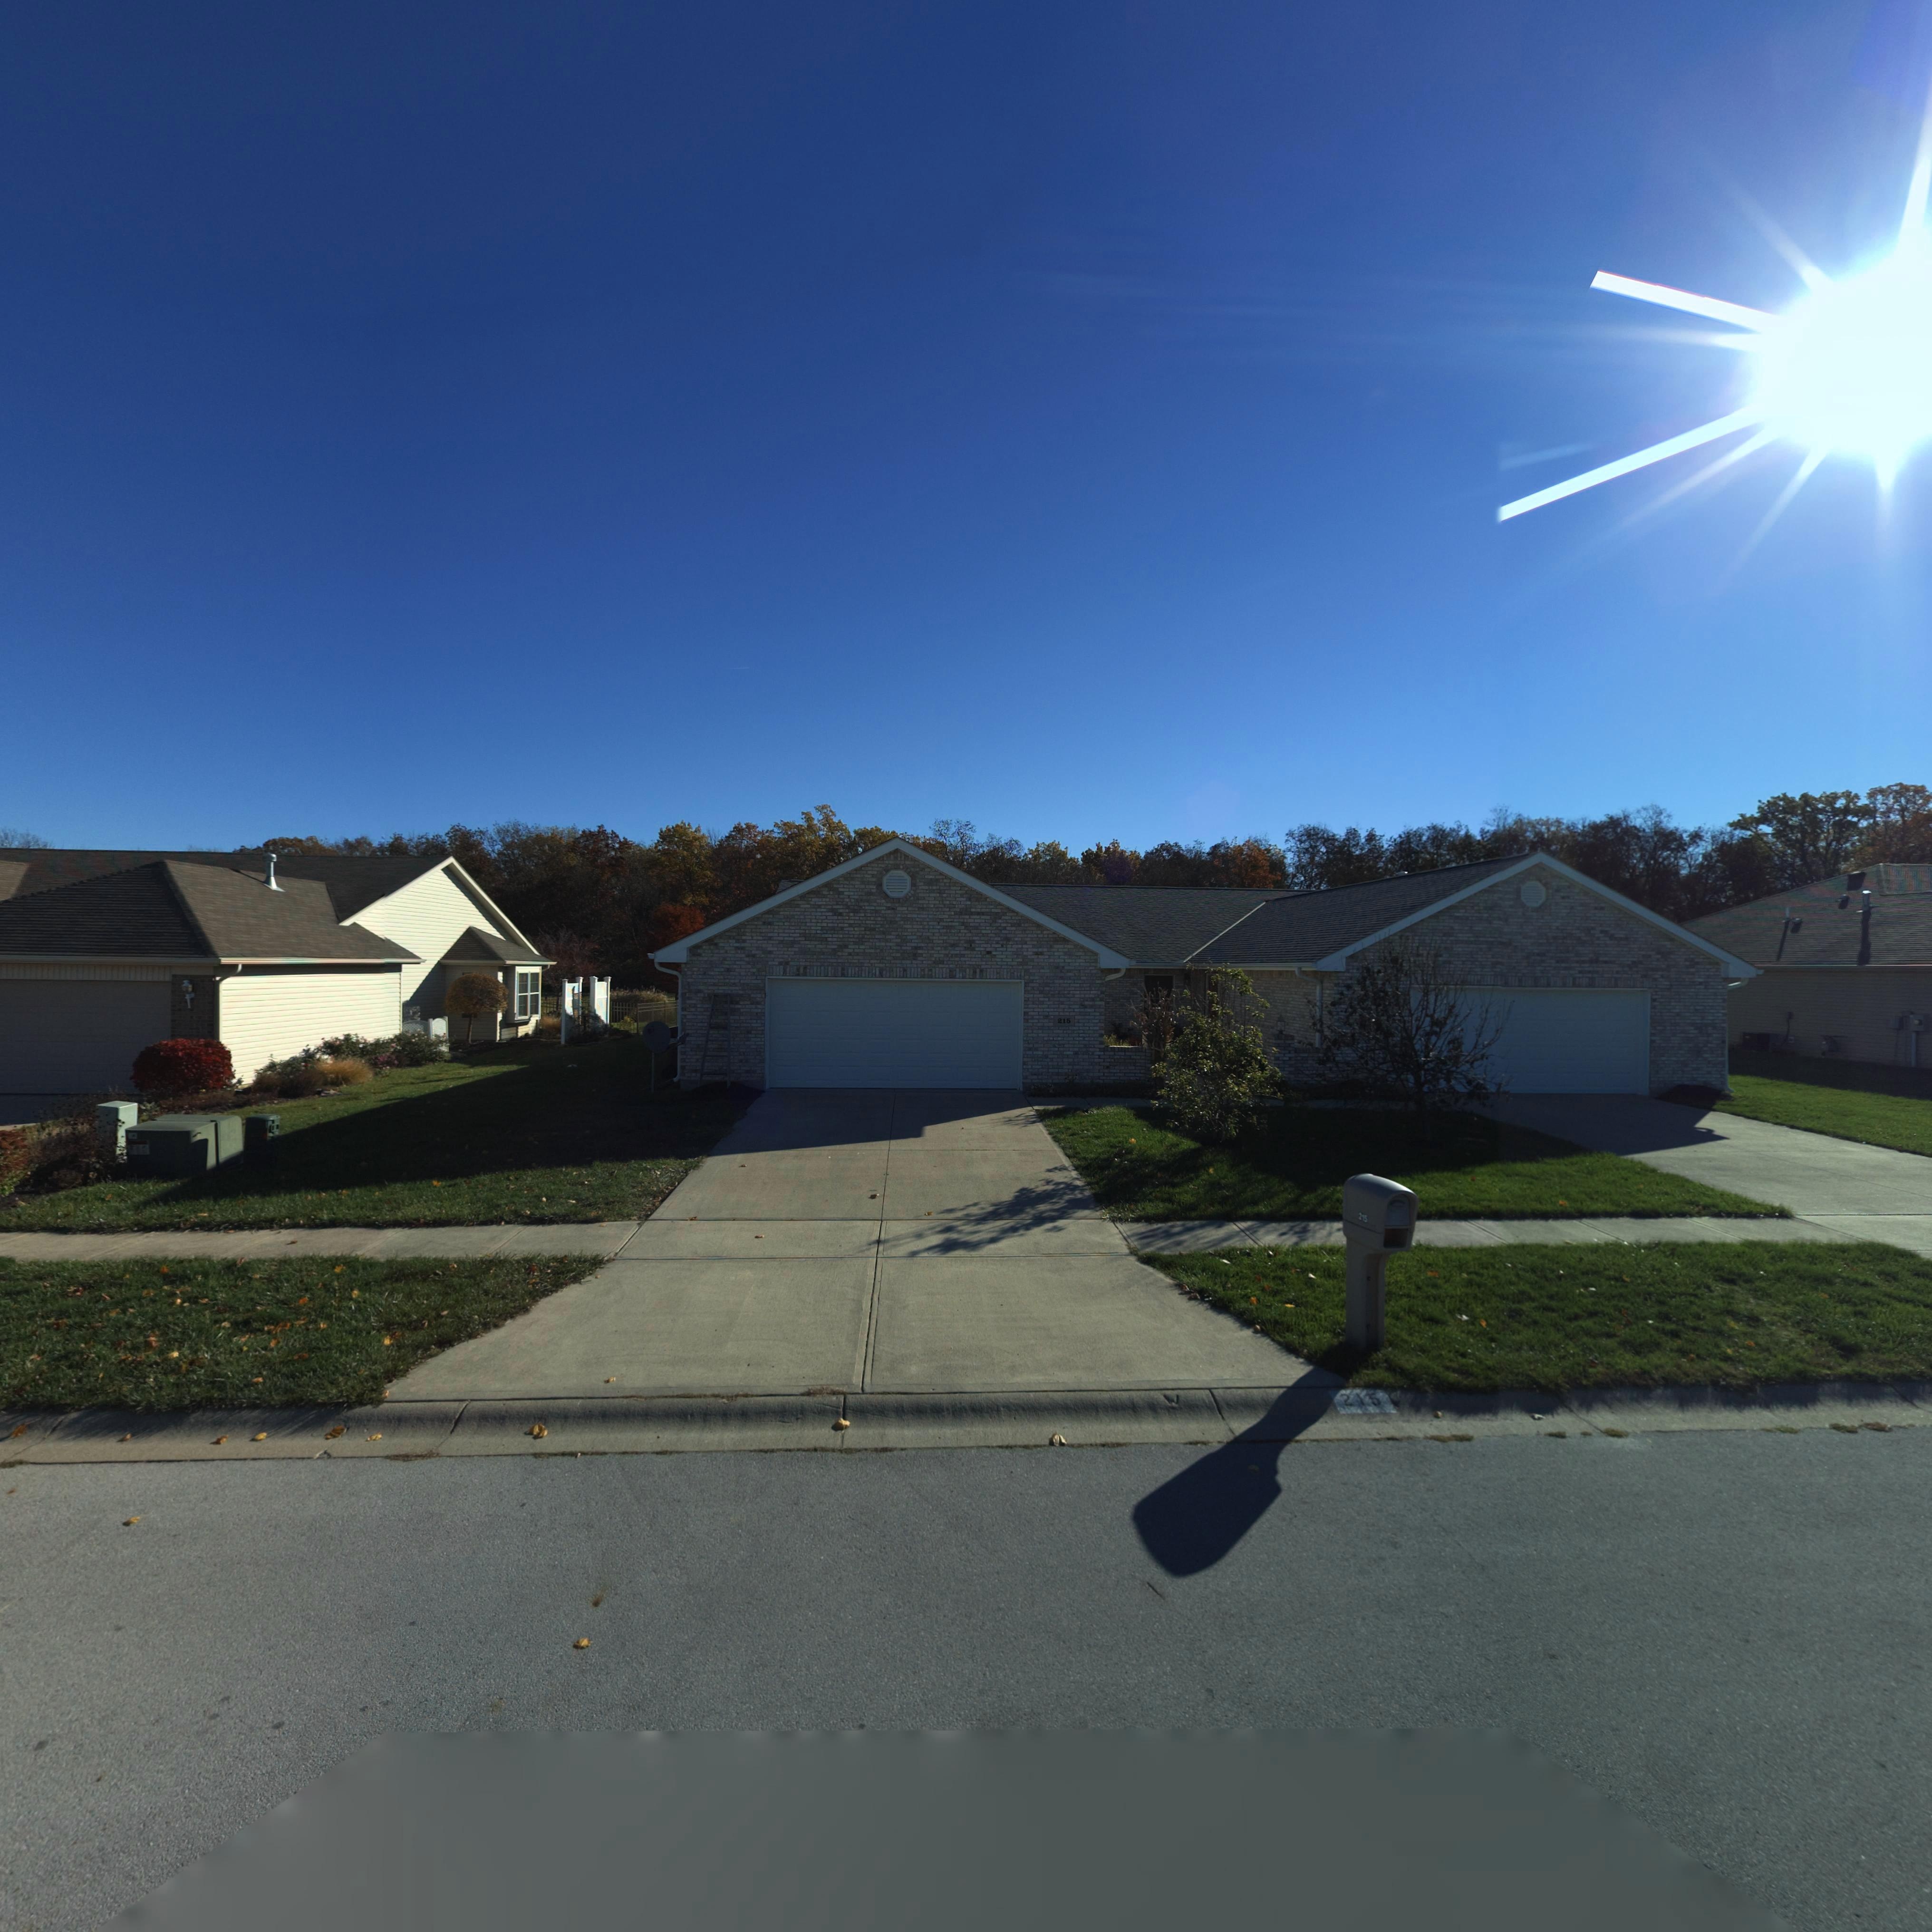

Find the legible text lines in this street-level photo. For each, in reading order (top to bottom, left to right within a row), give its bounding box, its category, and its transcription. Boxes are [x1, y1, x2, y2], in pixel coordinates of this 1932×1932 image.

[1056, 1017, 1072, 1024] StreetNumber: 215
[1336, 1391, 1384, 1408] StreetNumber: 215